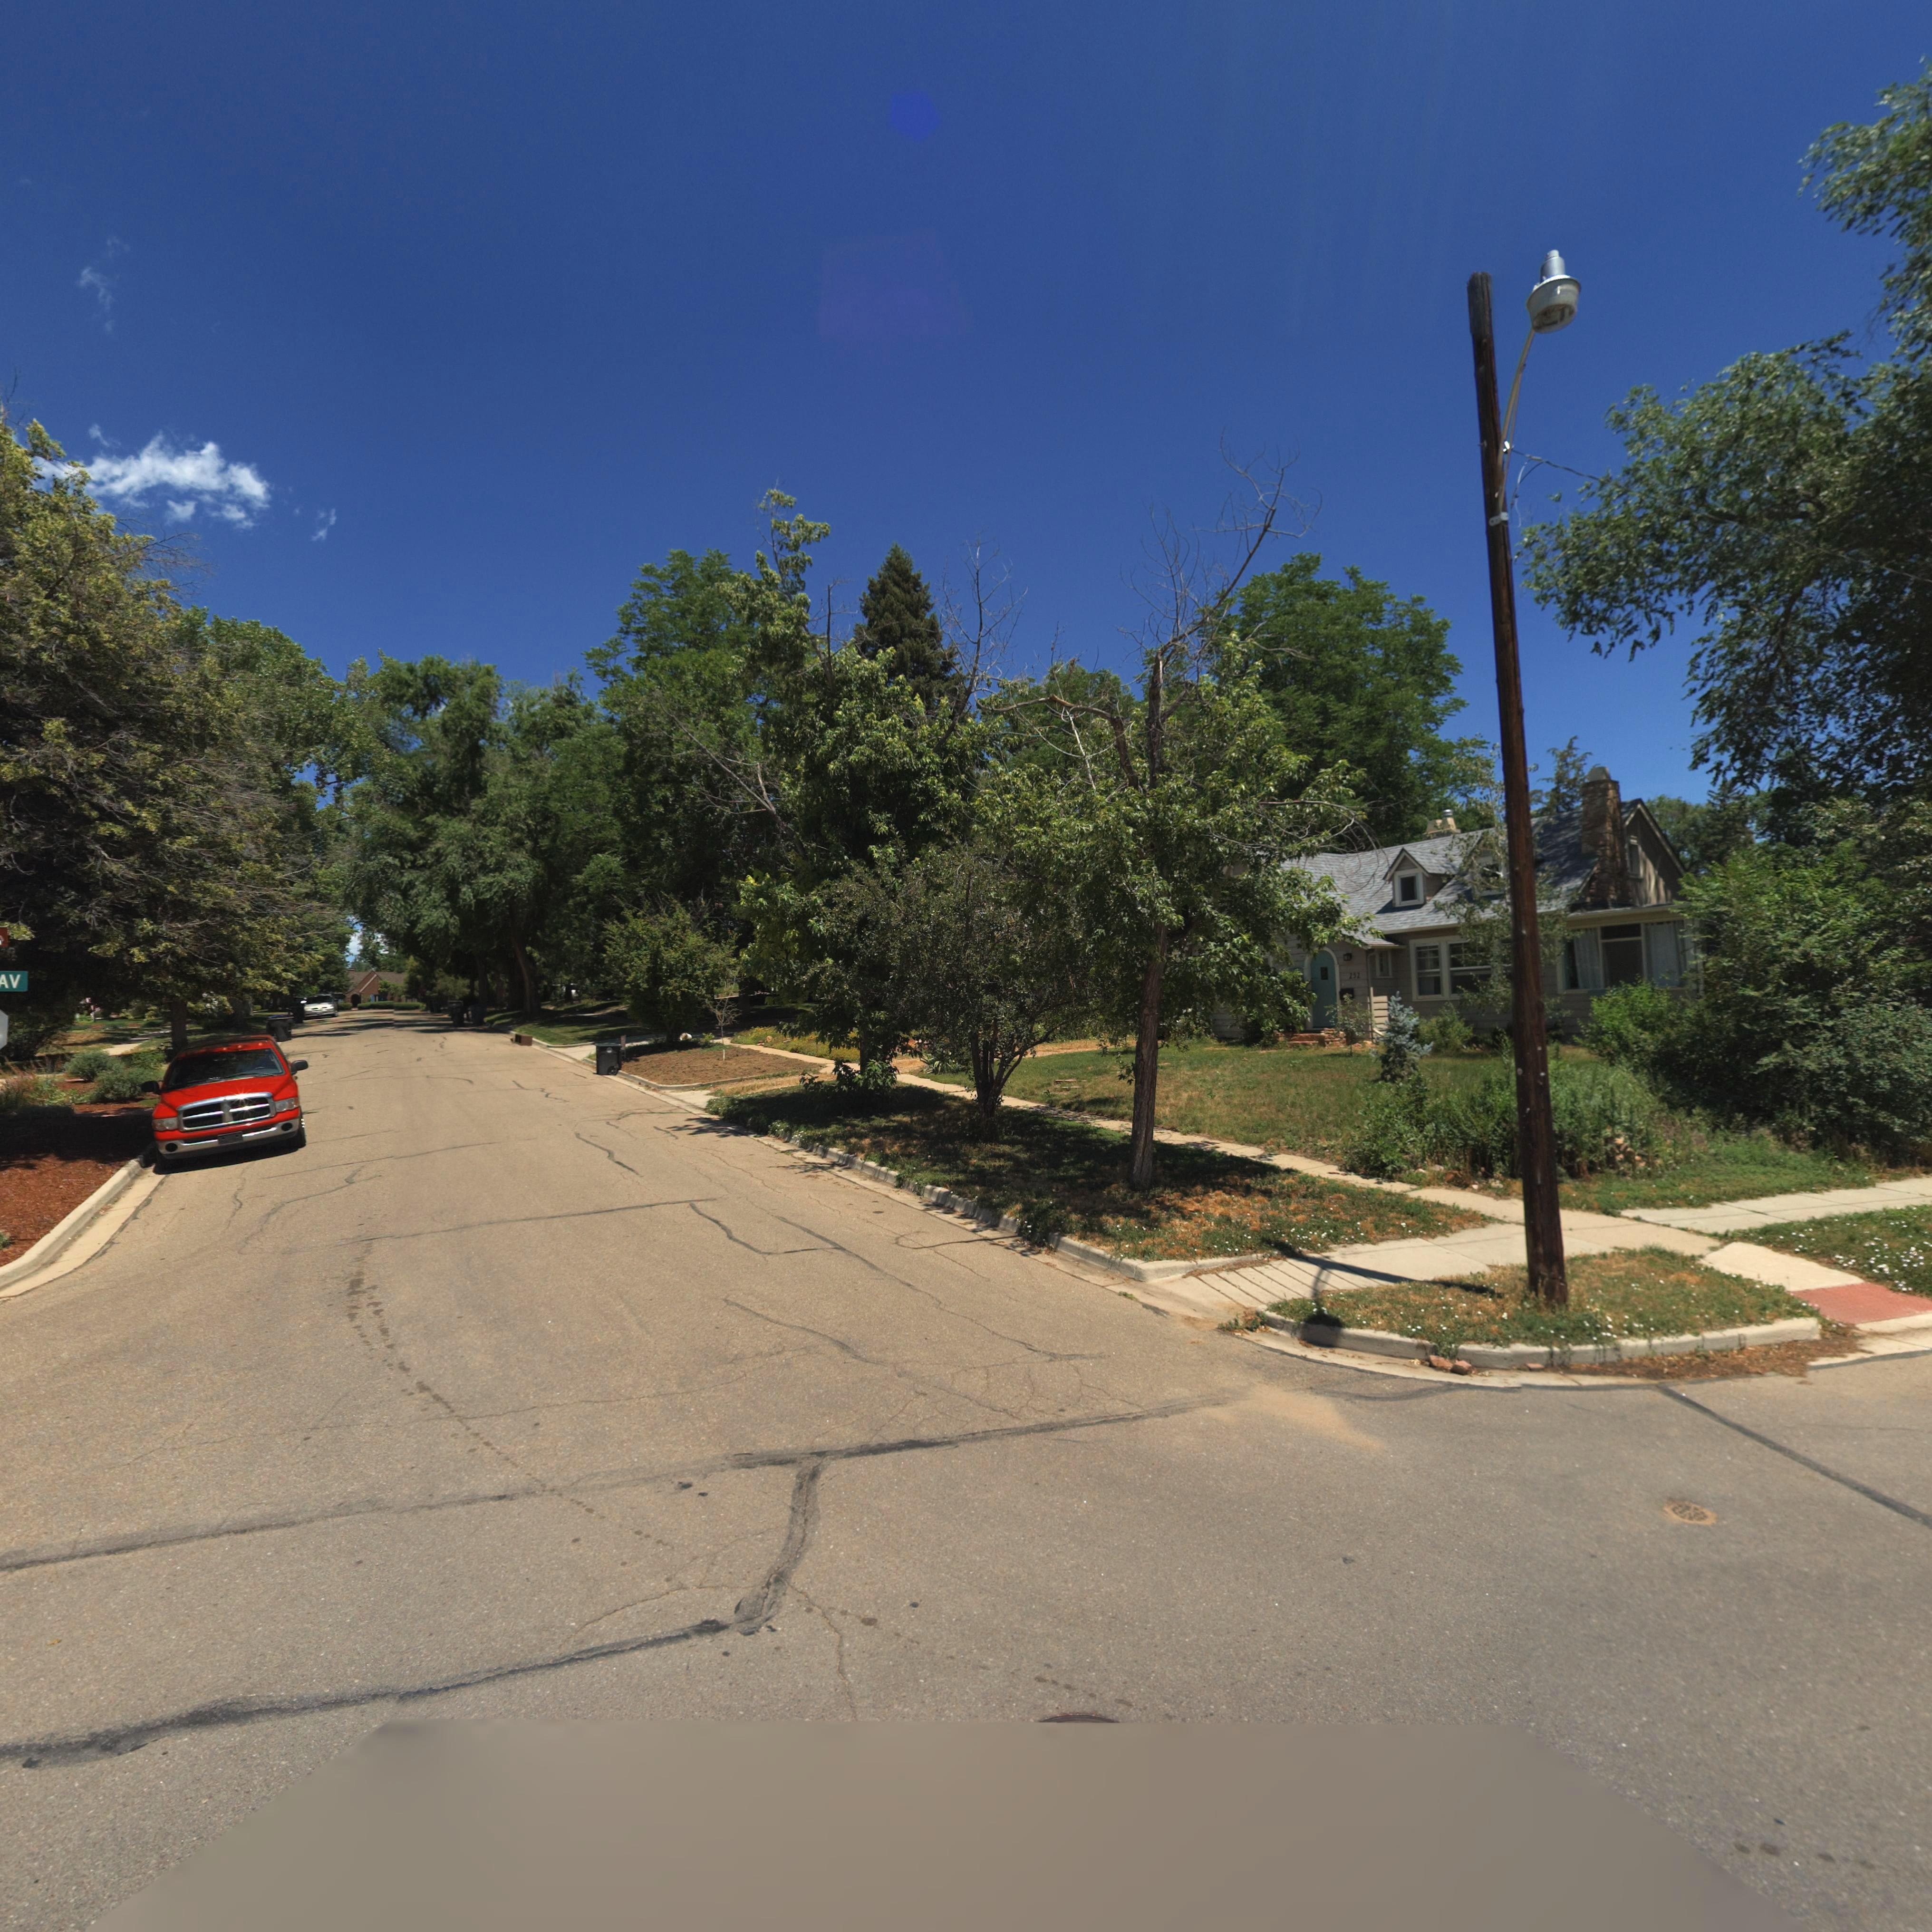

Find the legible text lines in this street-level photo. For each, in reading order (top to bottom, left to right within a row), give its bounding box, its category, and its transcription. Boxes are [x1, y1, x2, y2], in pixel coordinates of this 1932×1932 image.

[9, 974, 21, 988] StreetName: V
[1348, 972, 1360, 979] StreetNumber: 252